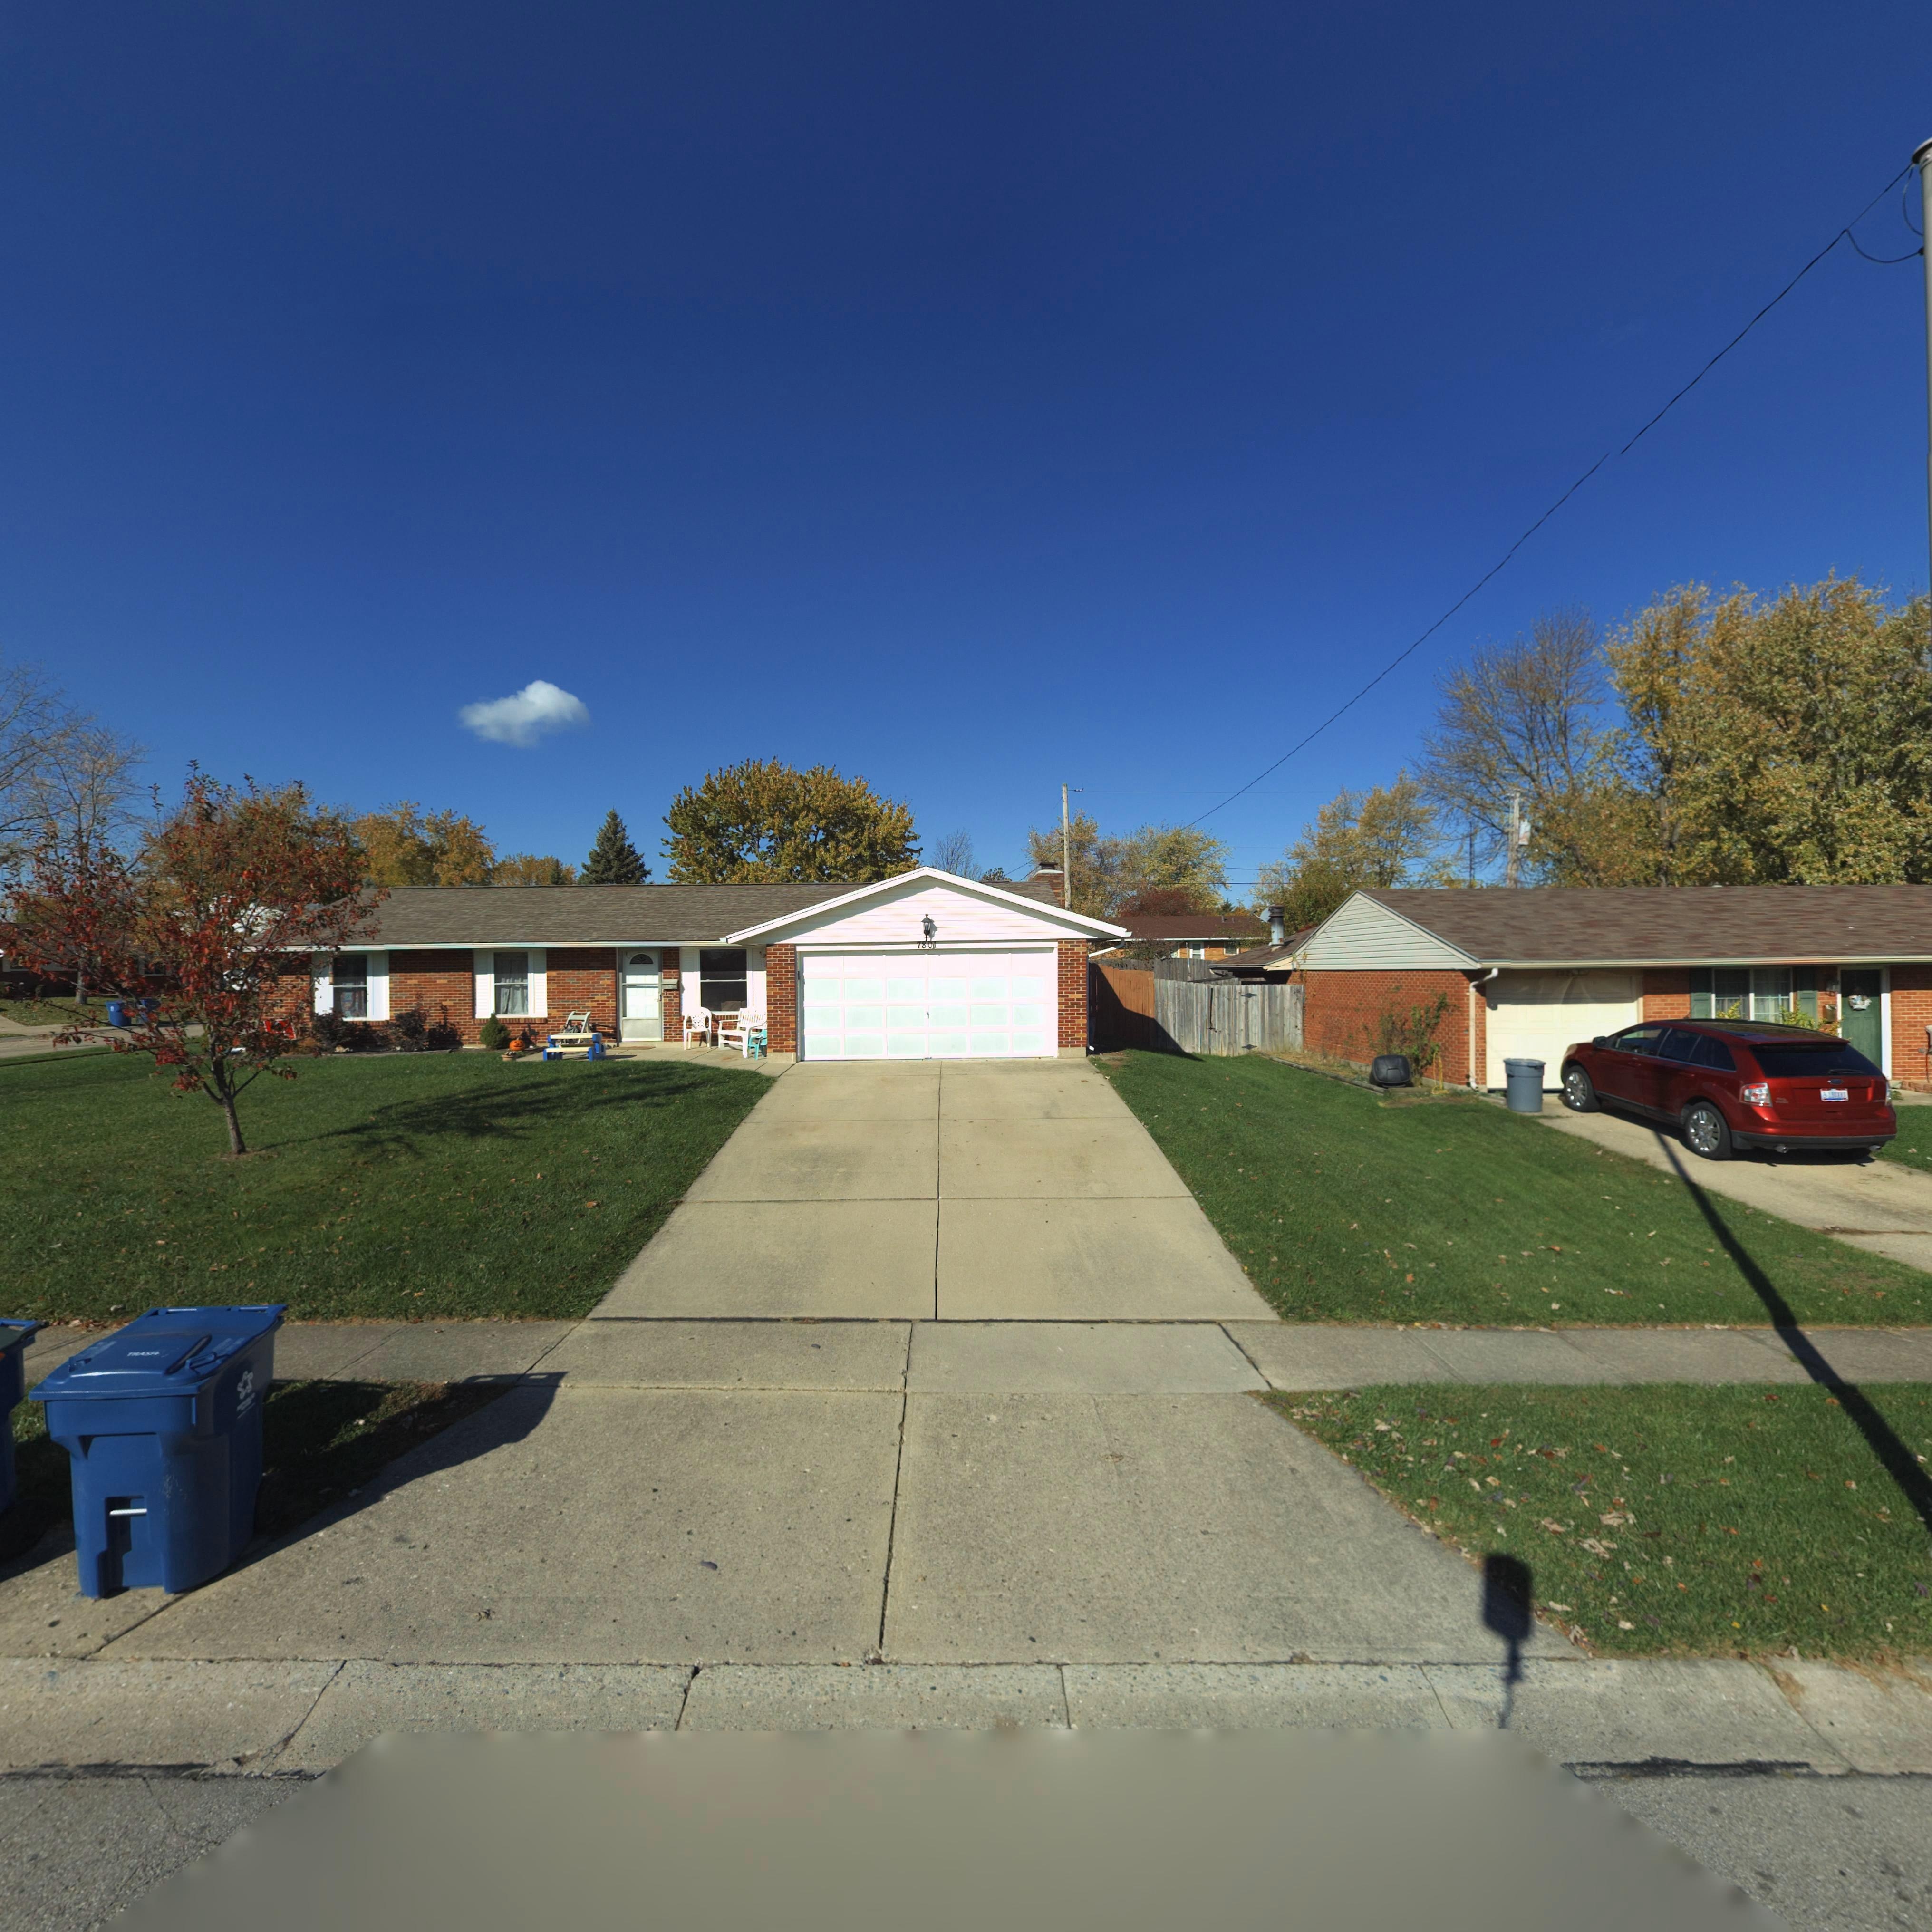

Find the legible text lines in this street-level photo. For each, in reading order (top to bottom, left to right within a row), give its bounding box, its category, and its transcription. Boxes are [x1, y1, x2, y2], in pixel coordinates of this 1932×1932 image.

[916, 940, 937, 950] StreetNumber: 7801